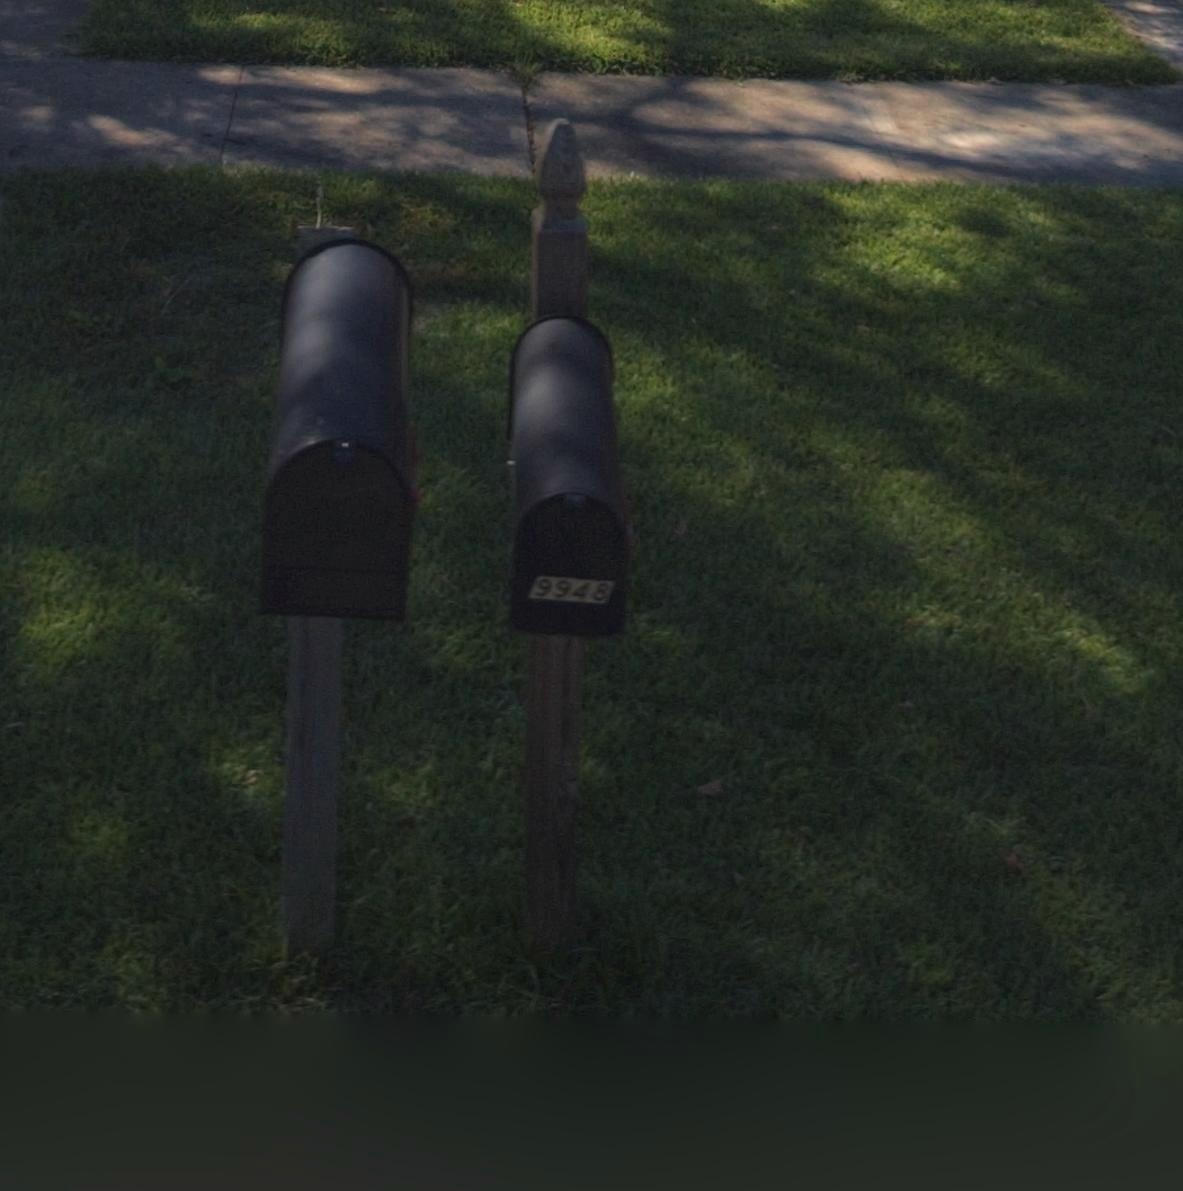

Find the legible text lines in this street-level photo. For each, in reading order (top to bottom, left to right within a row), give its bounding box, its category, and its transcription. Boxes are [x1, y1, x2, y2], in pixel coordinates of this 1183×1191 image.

[531, 578, 612, 602] StreetNumber: 9948